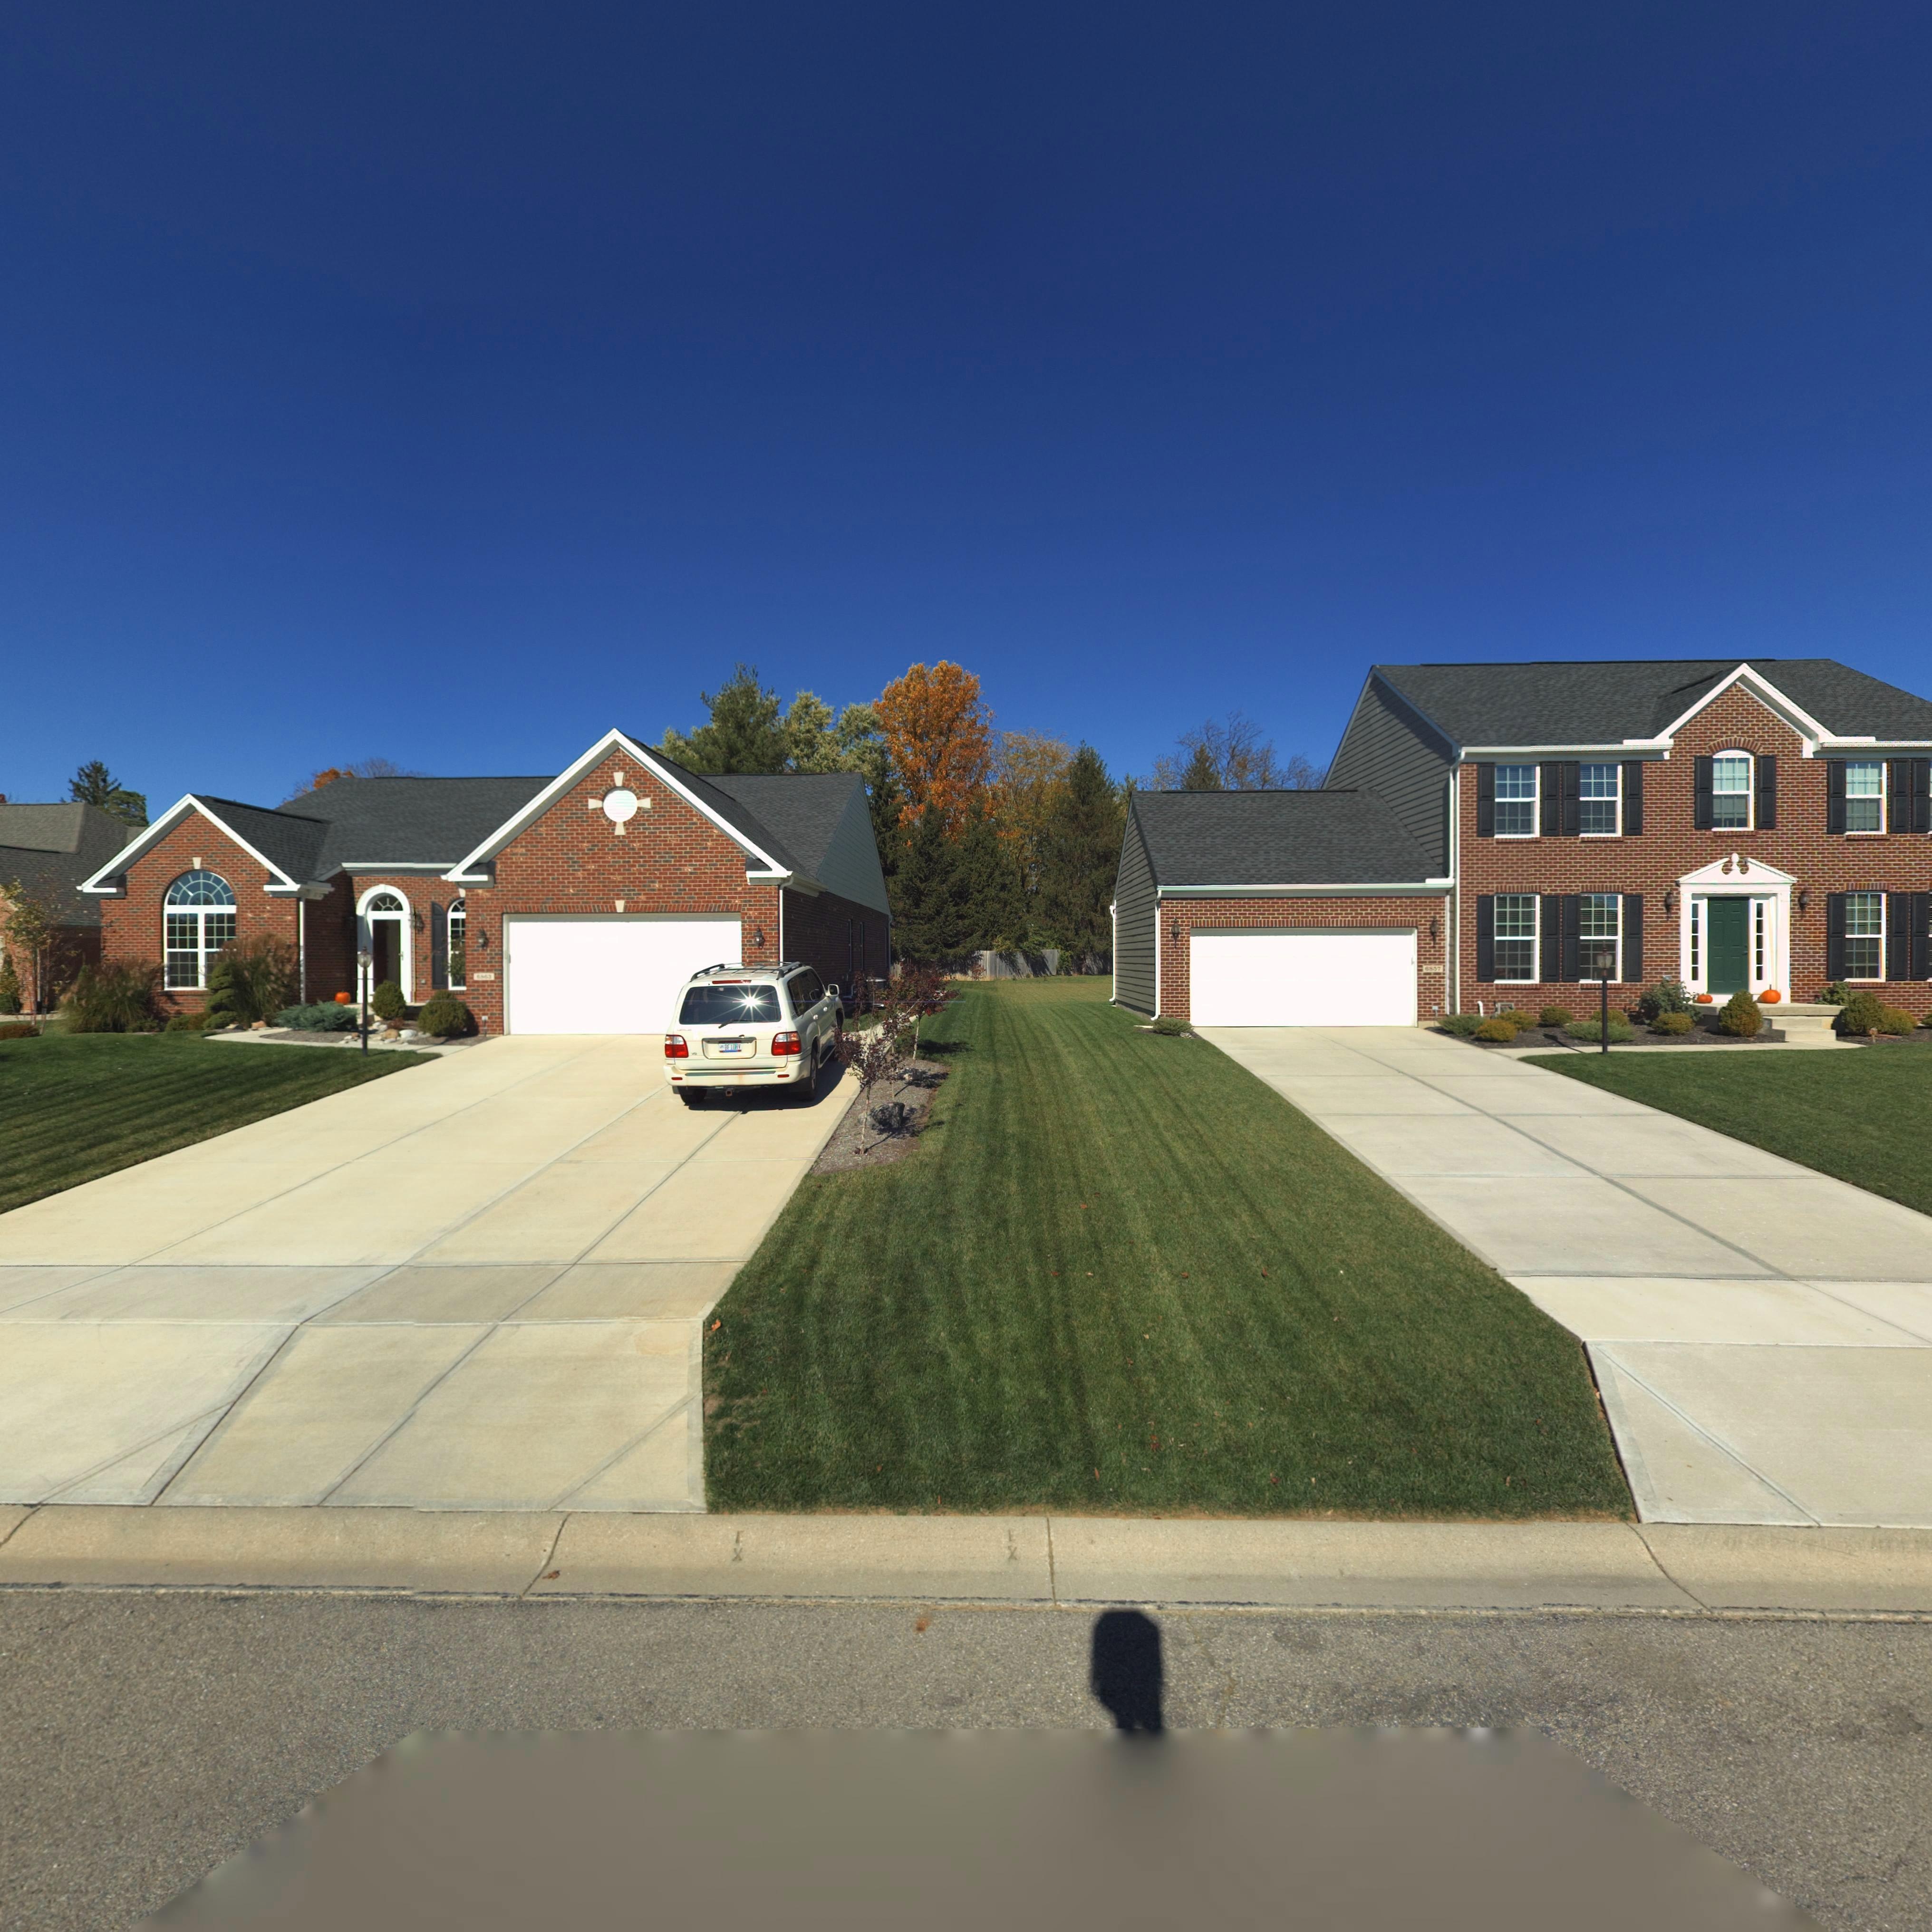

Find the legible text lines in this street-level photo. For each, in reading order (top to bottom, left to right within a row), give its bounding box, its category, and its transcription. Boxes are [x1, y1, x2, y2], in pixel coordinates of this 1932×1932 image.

[1424, 966, 1442, 972] StreetNumber: *8*7
[475, 974, 493, 979] StreetNumber: 6**3
[724, 1043, 733, 1051] None: BF1